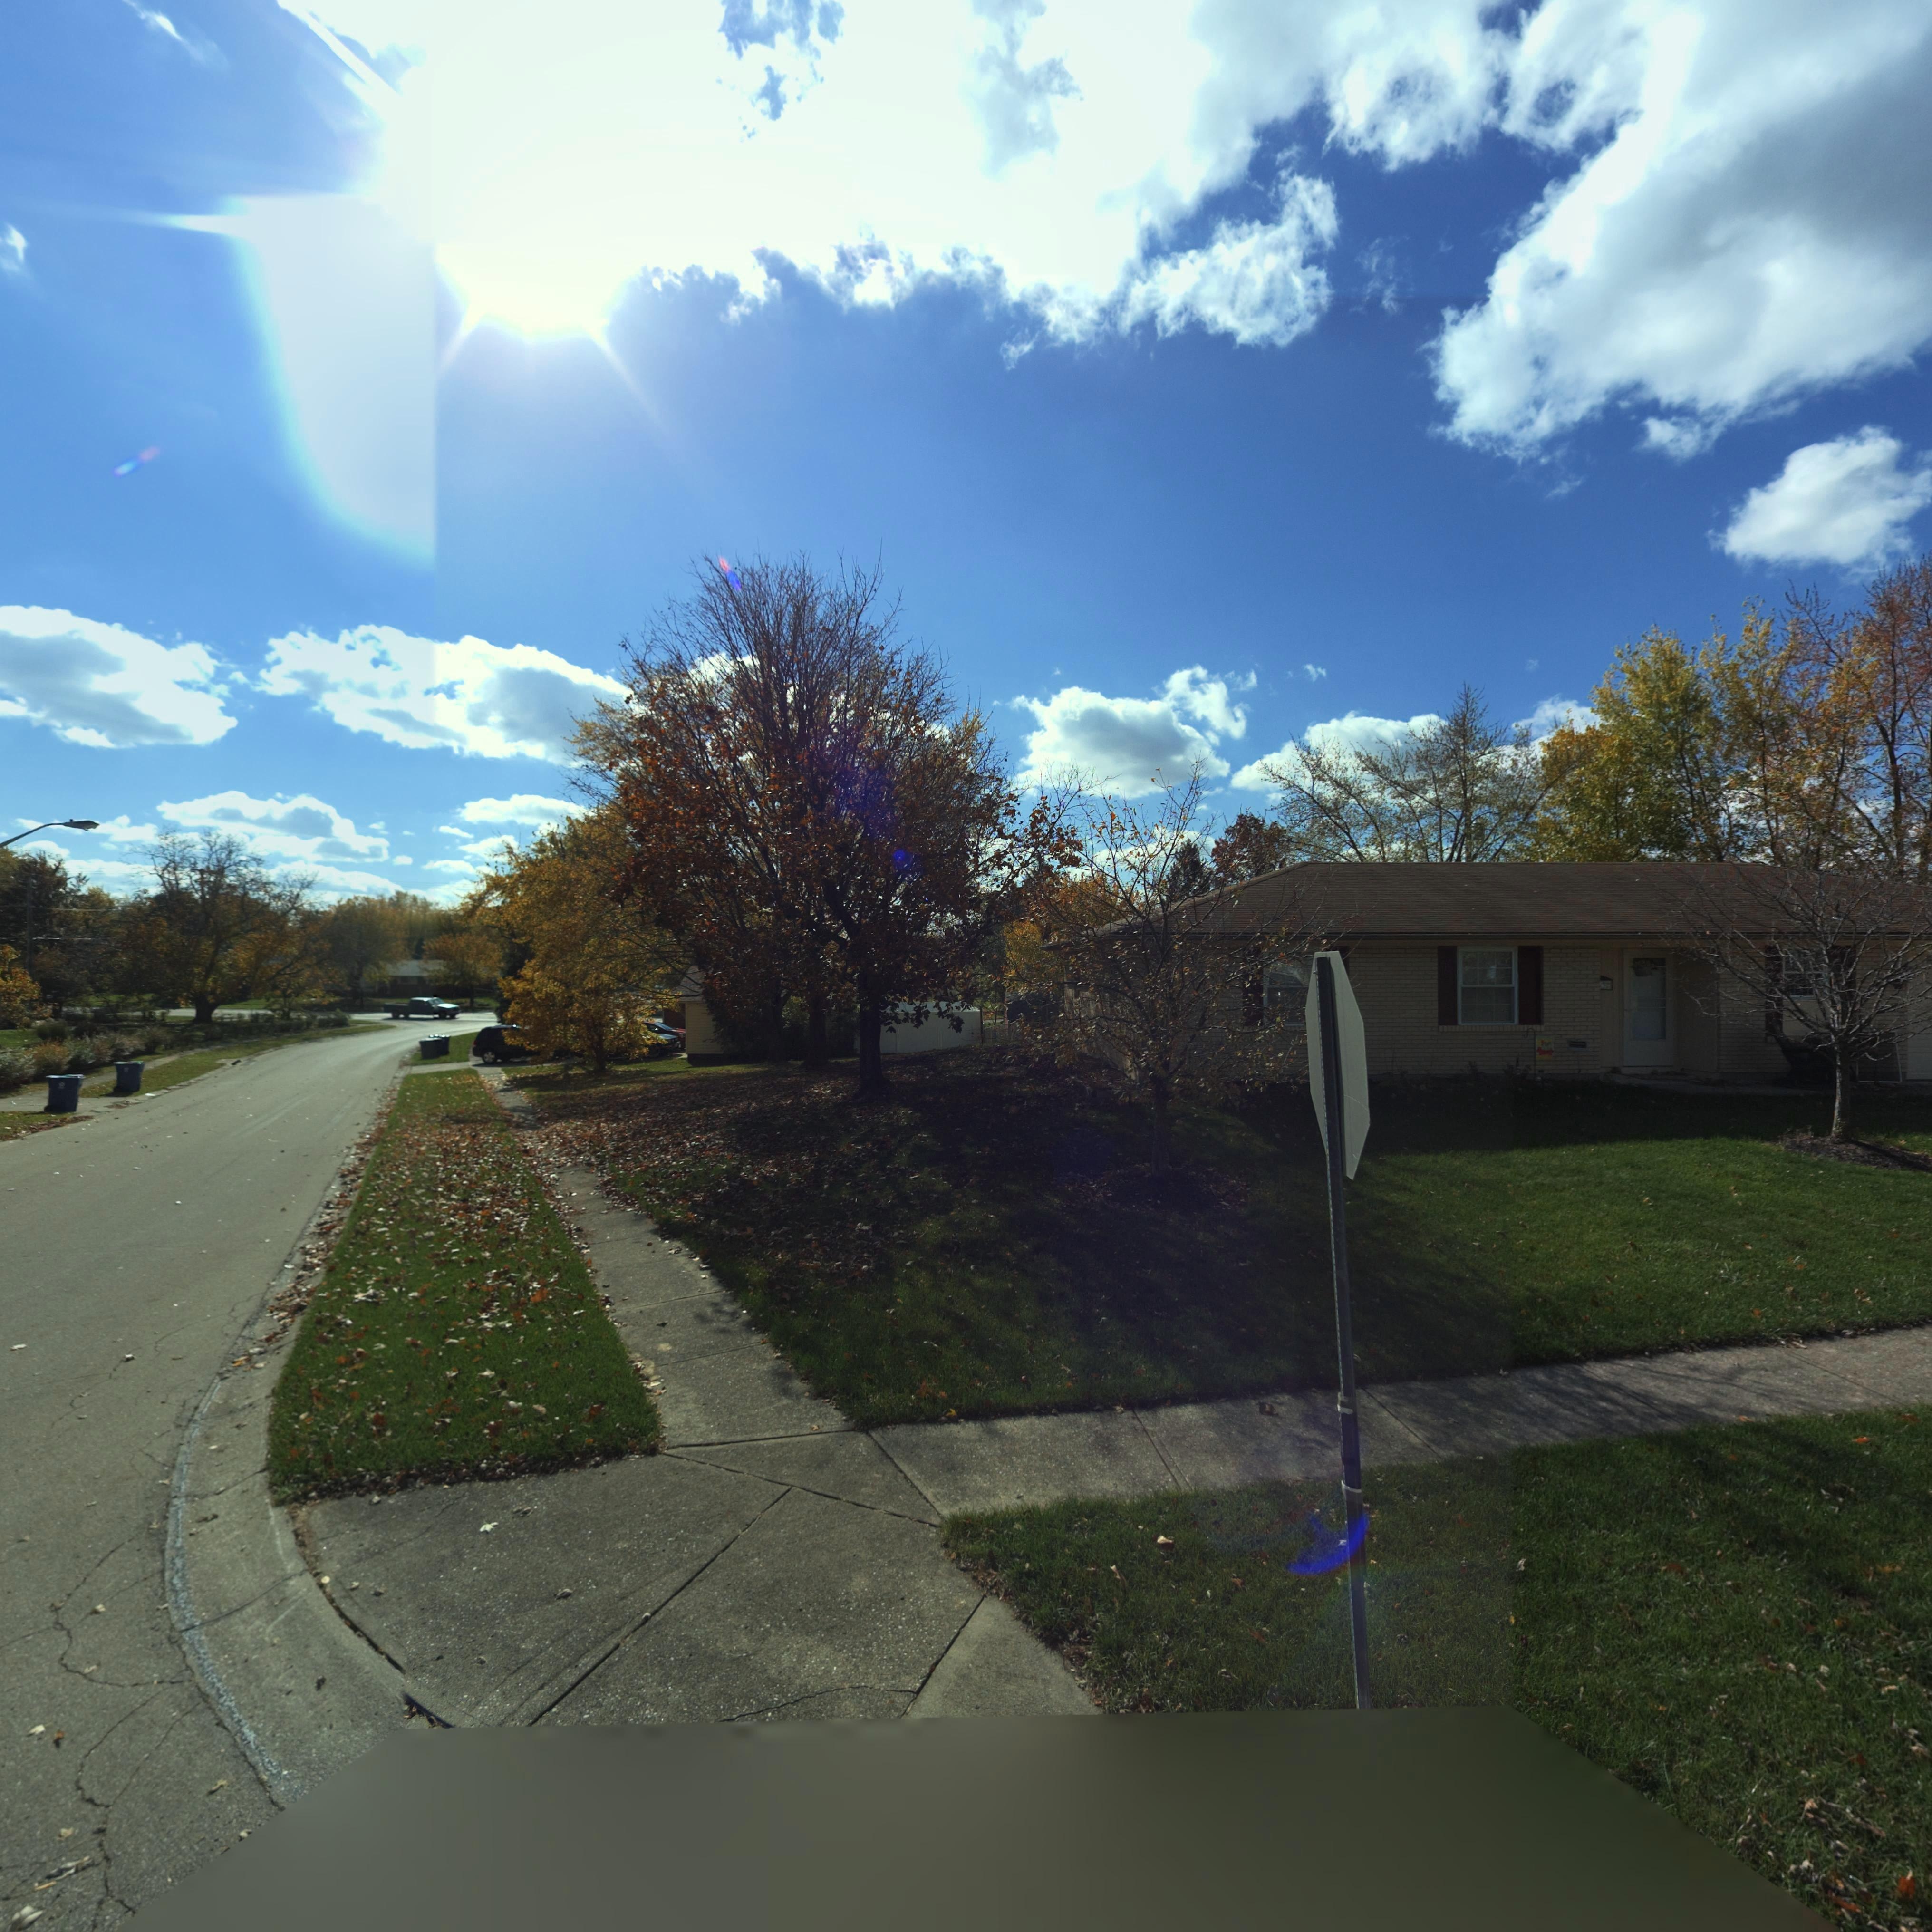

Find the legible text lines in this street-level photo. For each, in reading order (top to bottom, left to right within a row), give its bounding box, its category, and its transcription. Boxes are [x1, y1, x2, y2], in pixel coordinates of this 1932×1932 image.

[1602, 981, 1610, 988] StreetNumber: 32